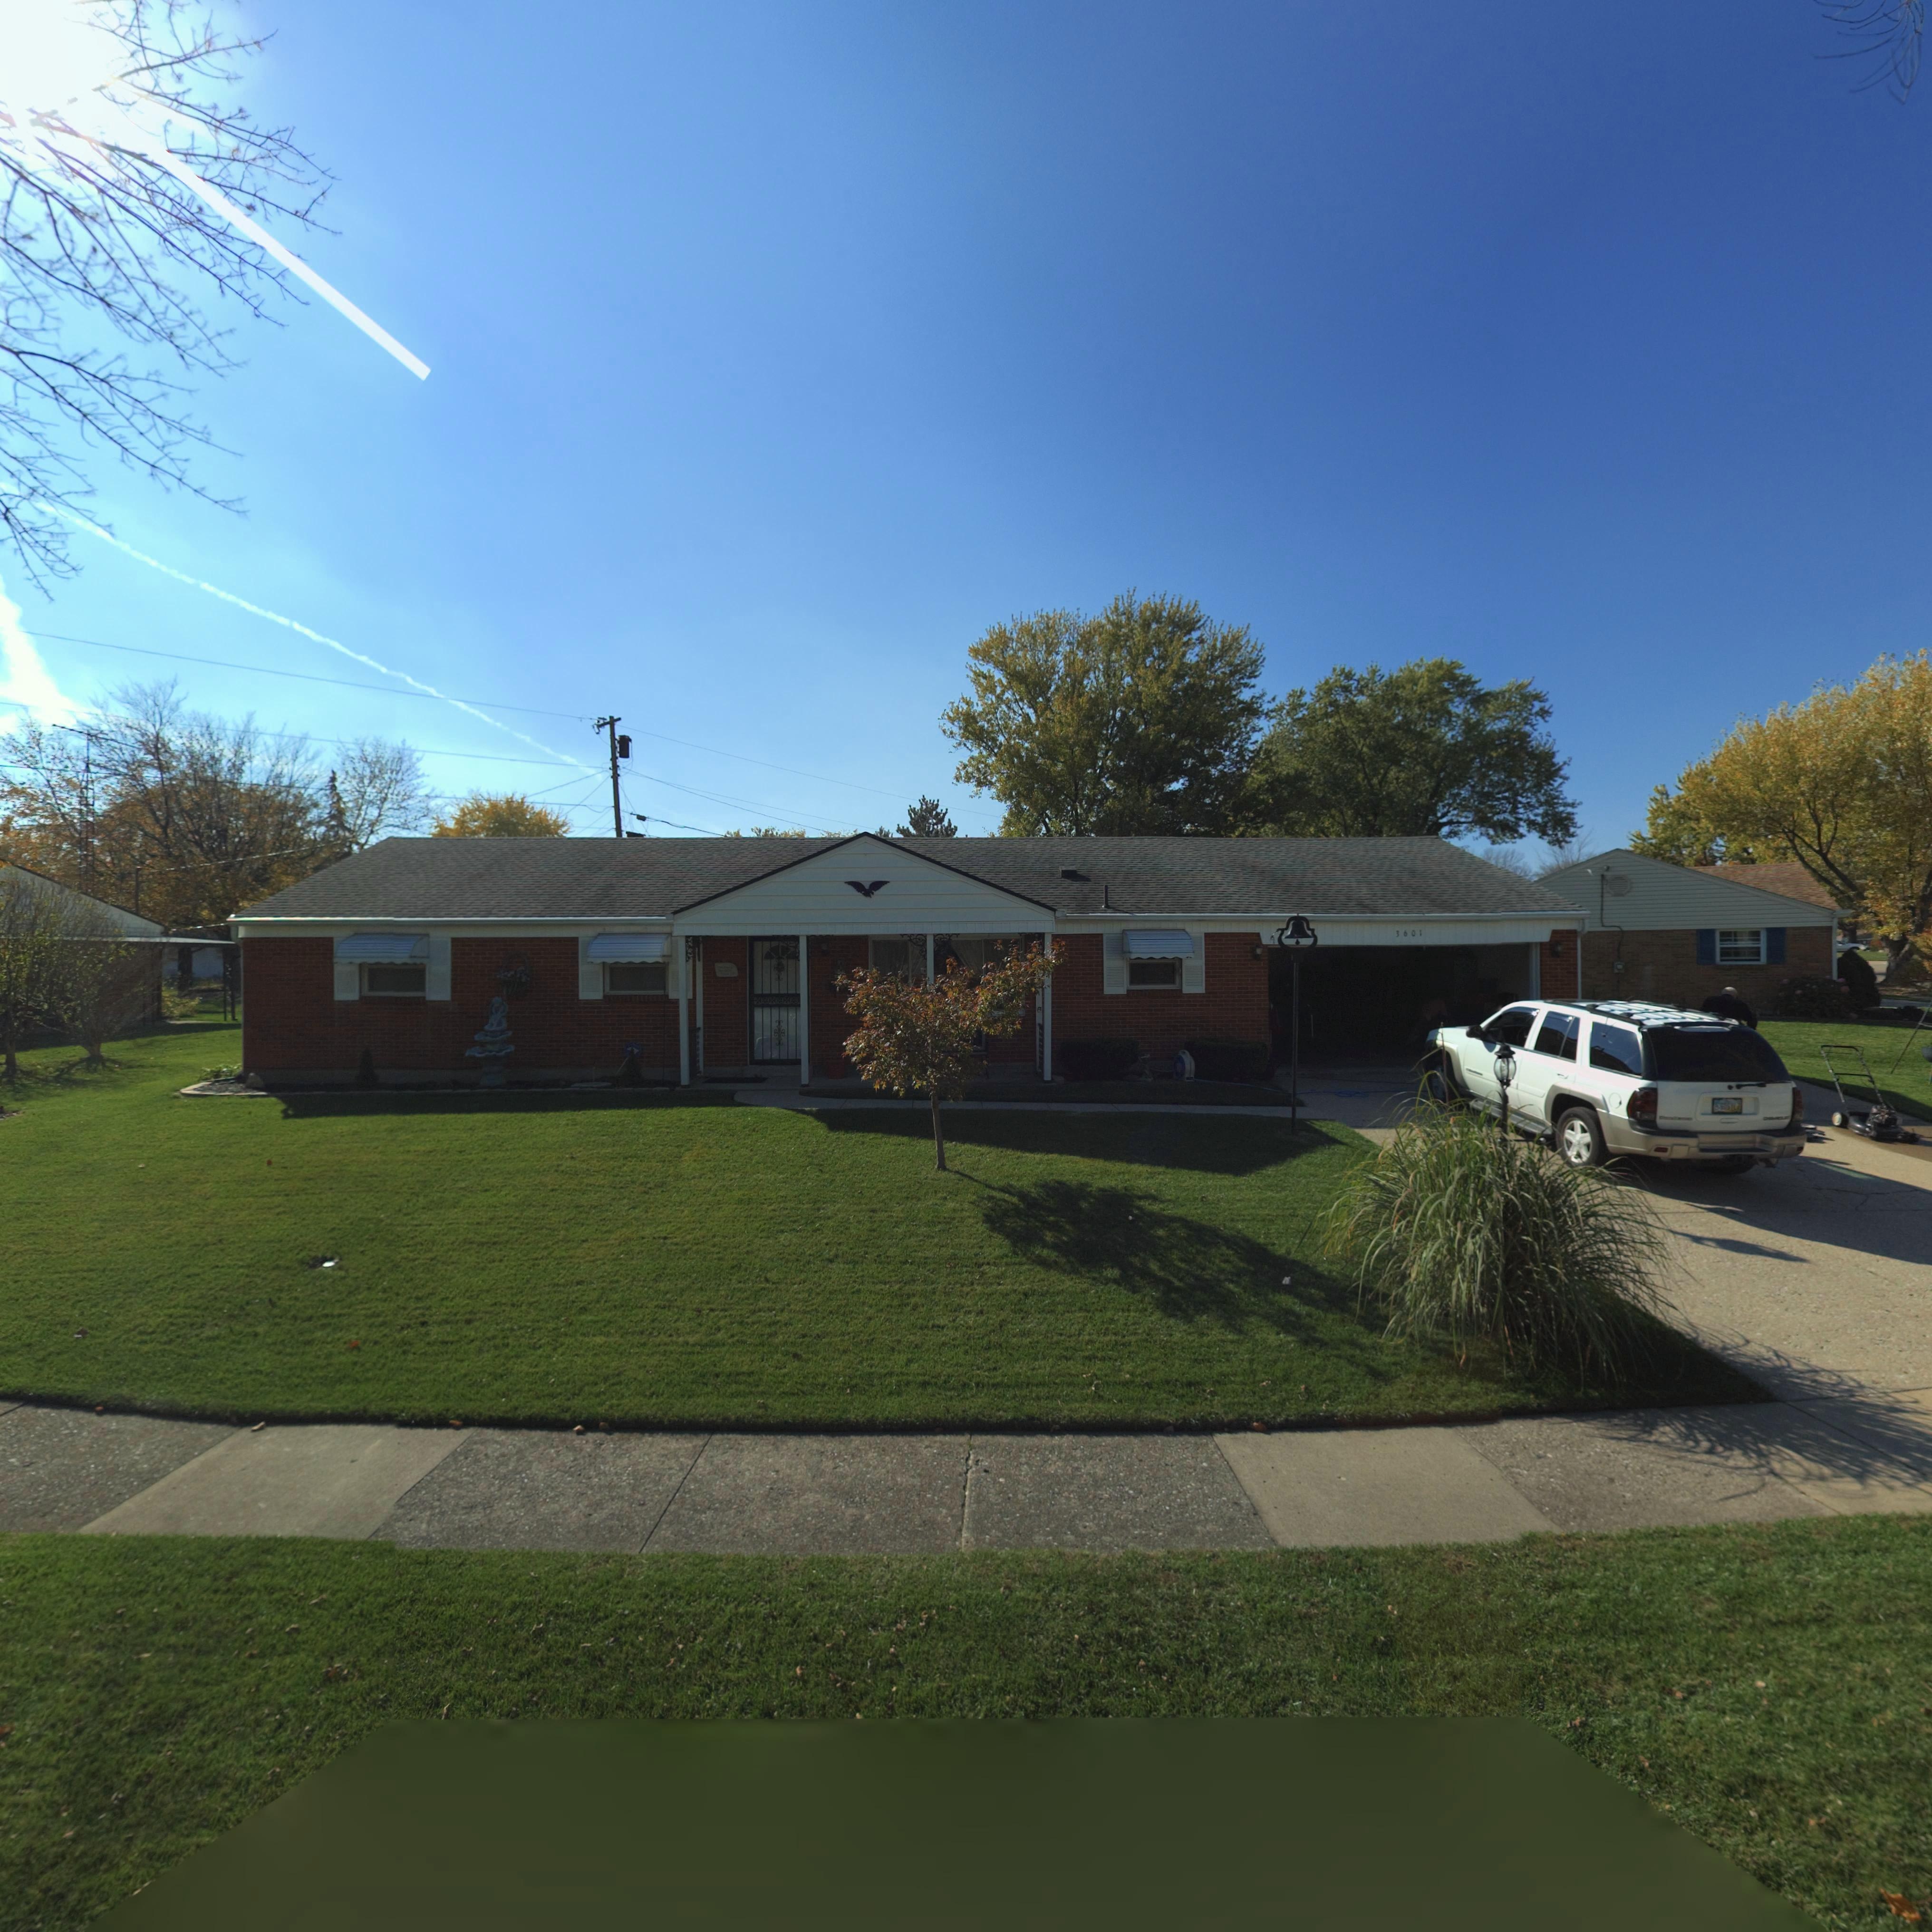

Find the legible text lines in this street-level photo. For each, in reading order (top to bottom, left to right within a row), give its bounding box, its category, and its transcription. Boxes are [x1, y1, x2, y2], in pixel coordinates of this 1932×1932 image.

[1394, 928, 1424, 939] StreetNumber: 3601